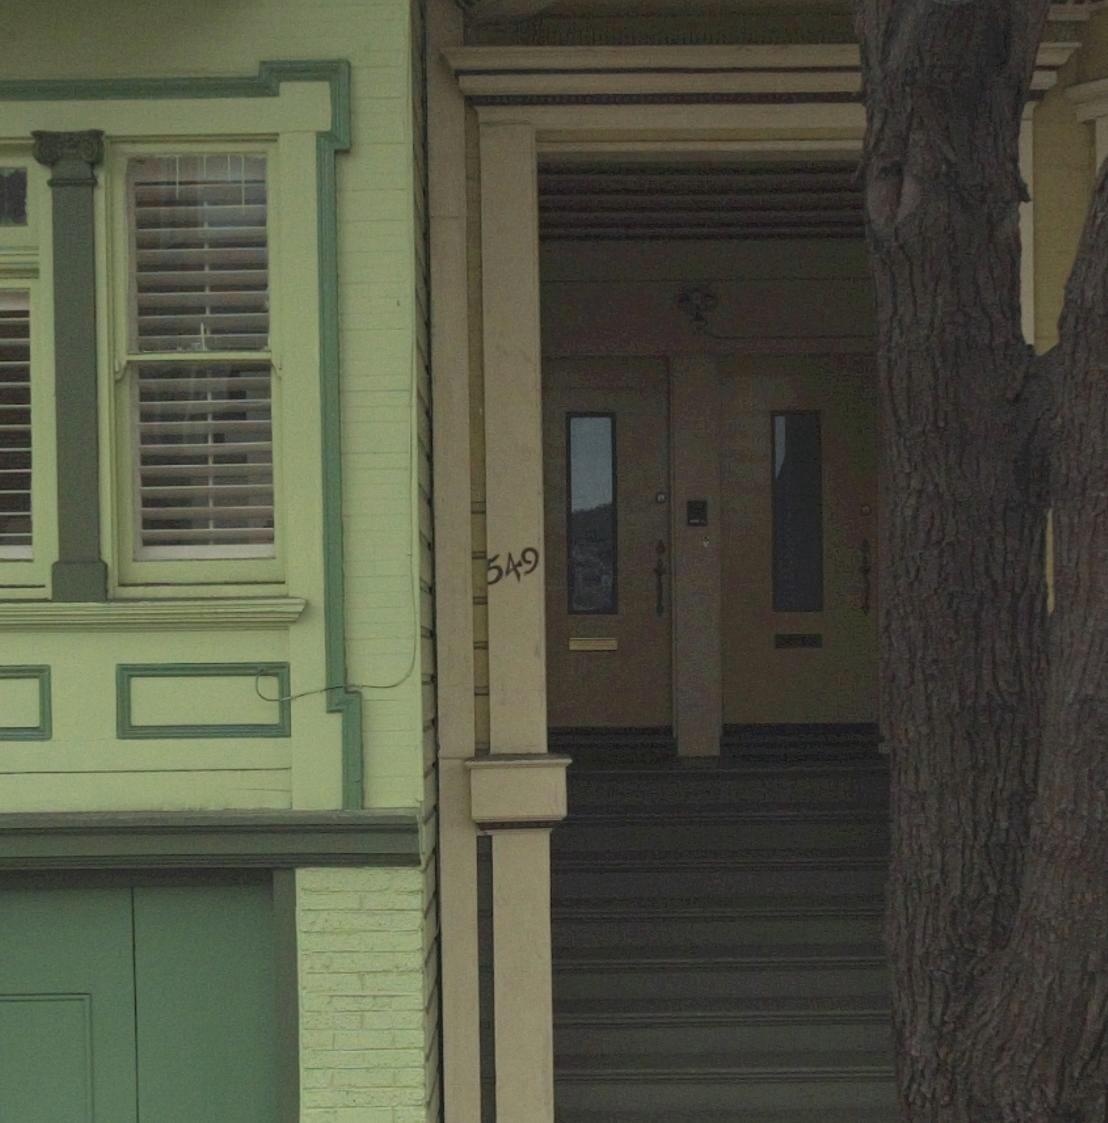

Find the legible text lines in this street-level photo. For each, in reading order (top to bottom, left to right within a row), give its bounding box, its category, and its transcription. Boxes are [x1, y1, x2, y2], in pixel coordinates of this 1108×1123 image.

[485, 542, 542, 588] StreetNumber: 549